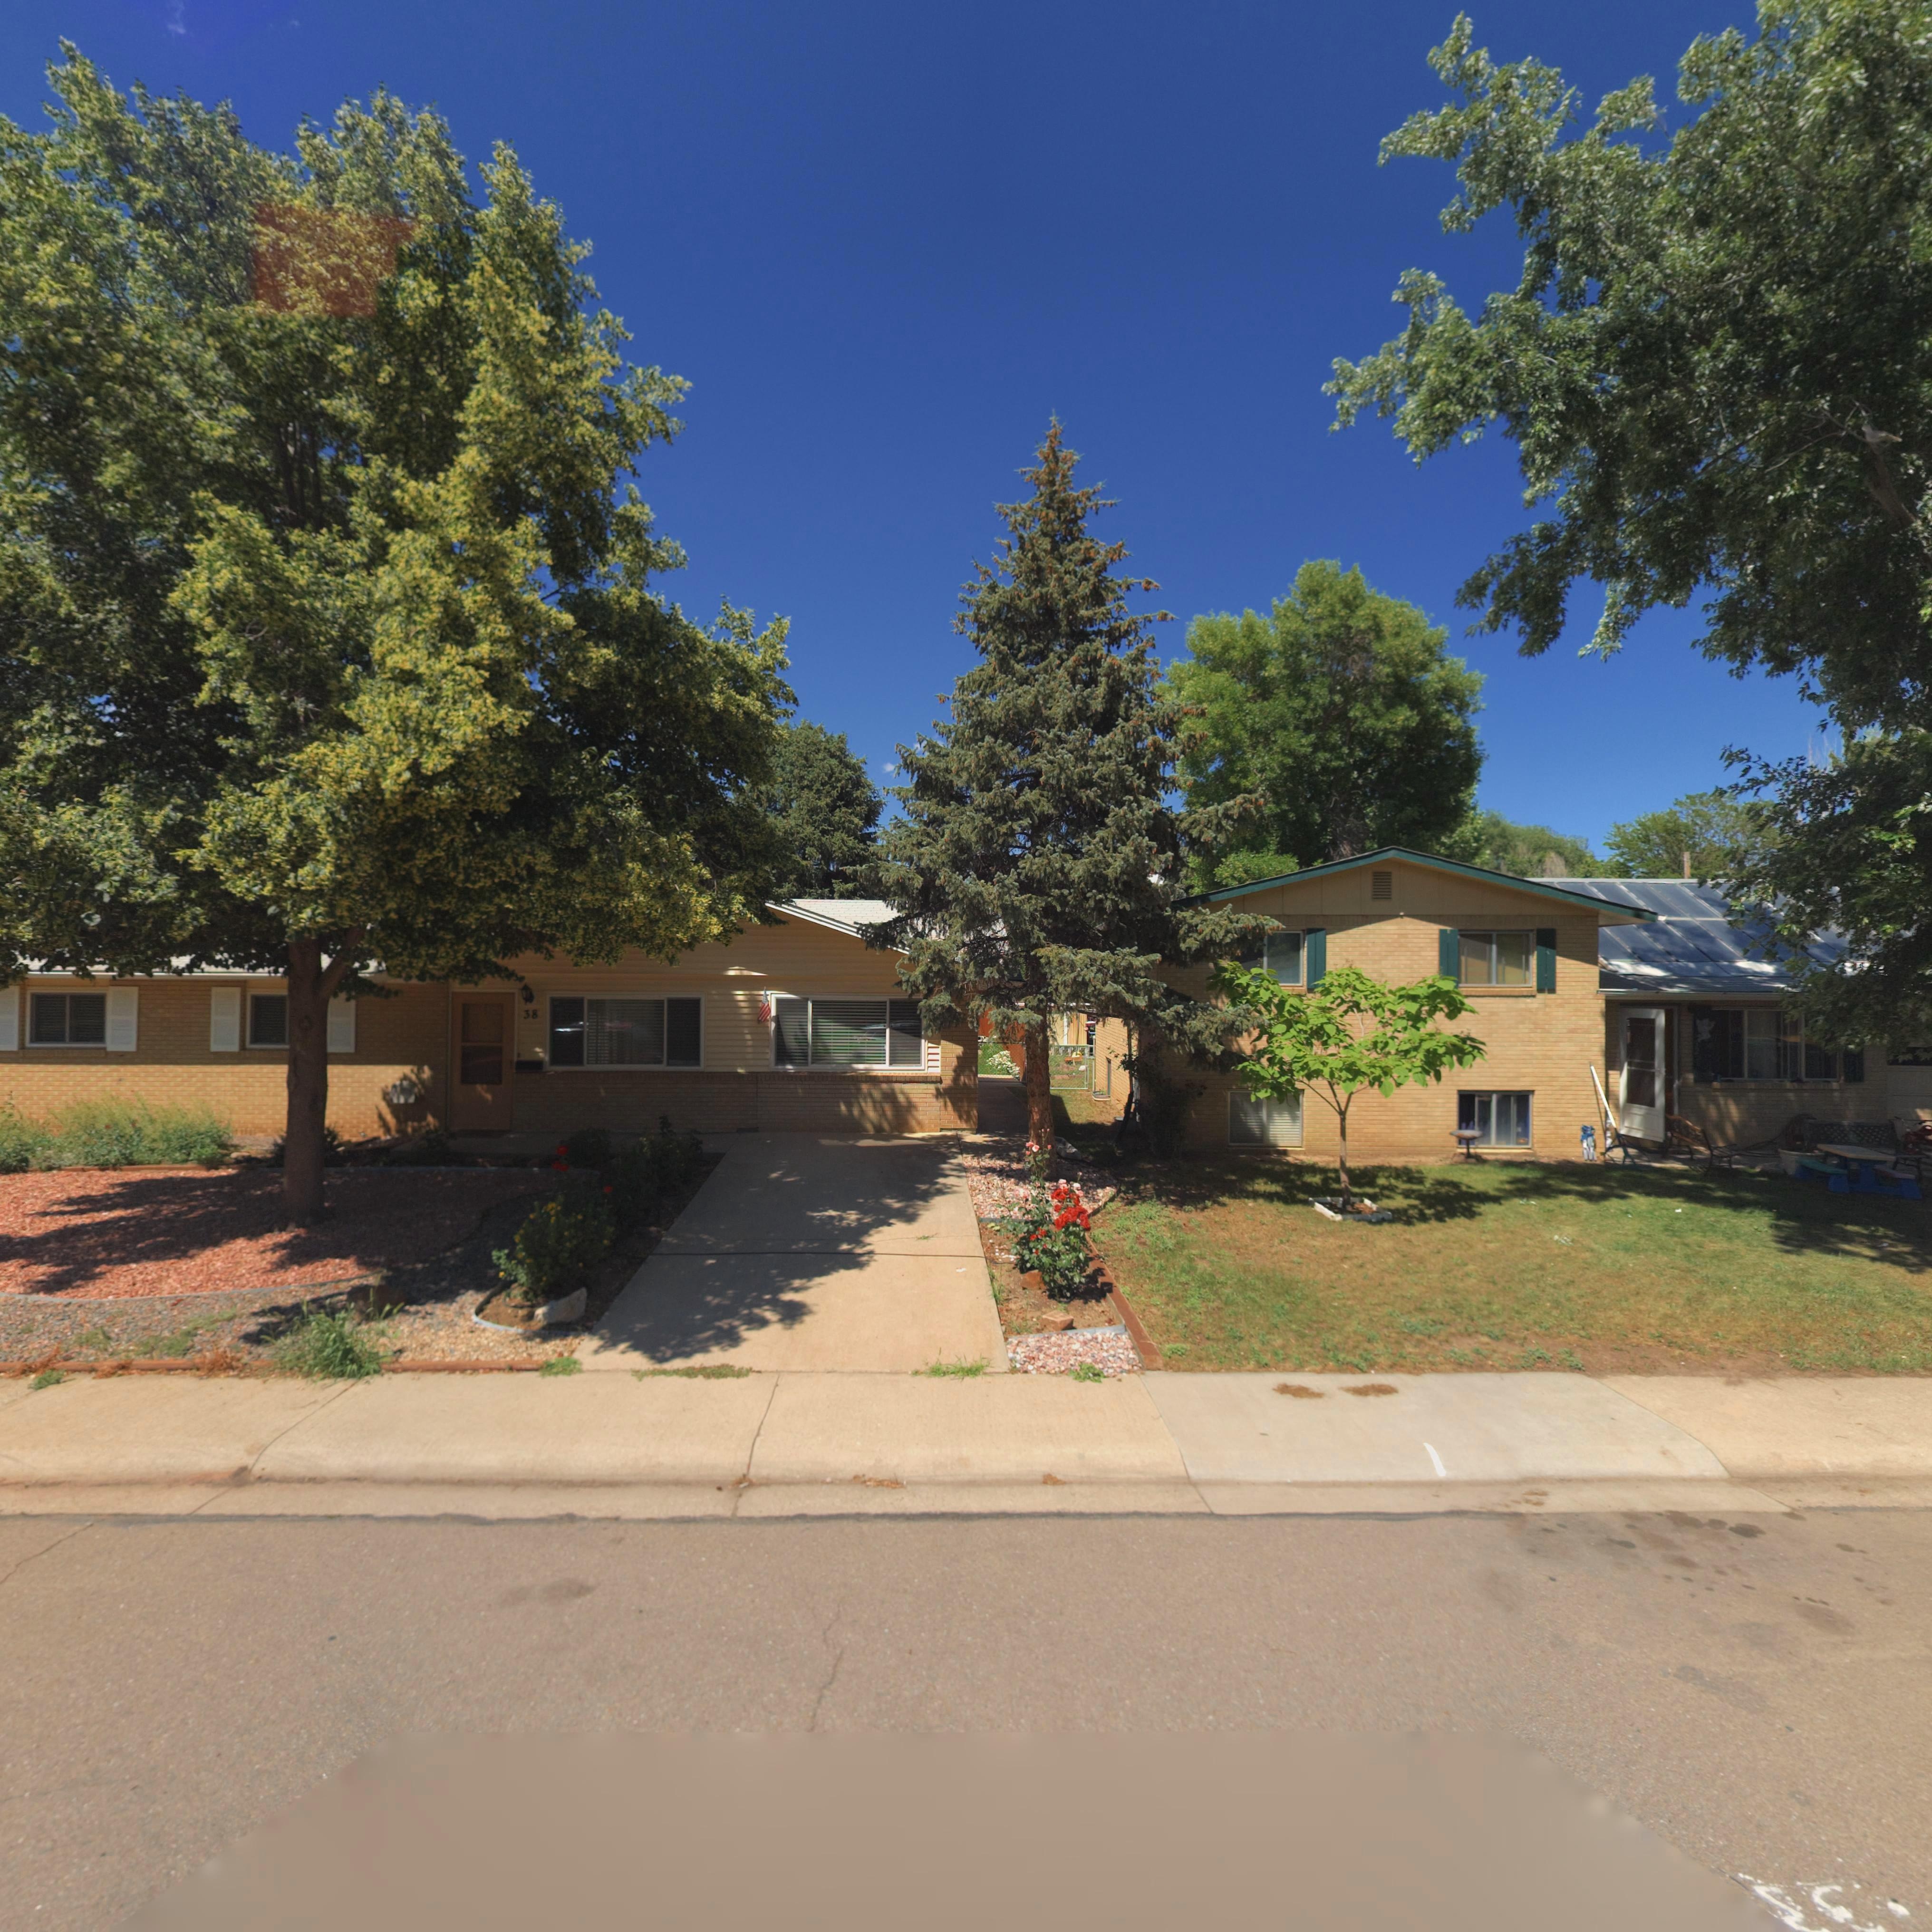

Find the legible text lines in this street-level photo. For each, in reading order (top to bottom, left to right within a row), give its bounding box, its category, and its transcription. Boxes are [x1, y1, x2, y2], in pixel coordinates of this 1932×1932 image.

[522, 1008, 538, 1020] StreetNumber: 38